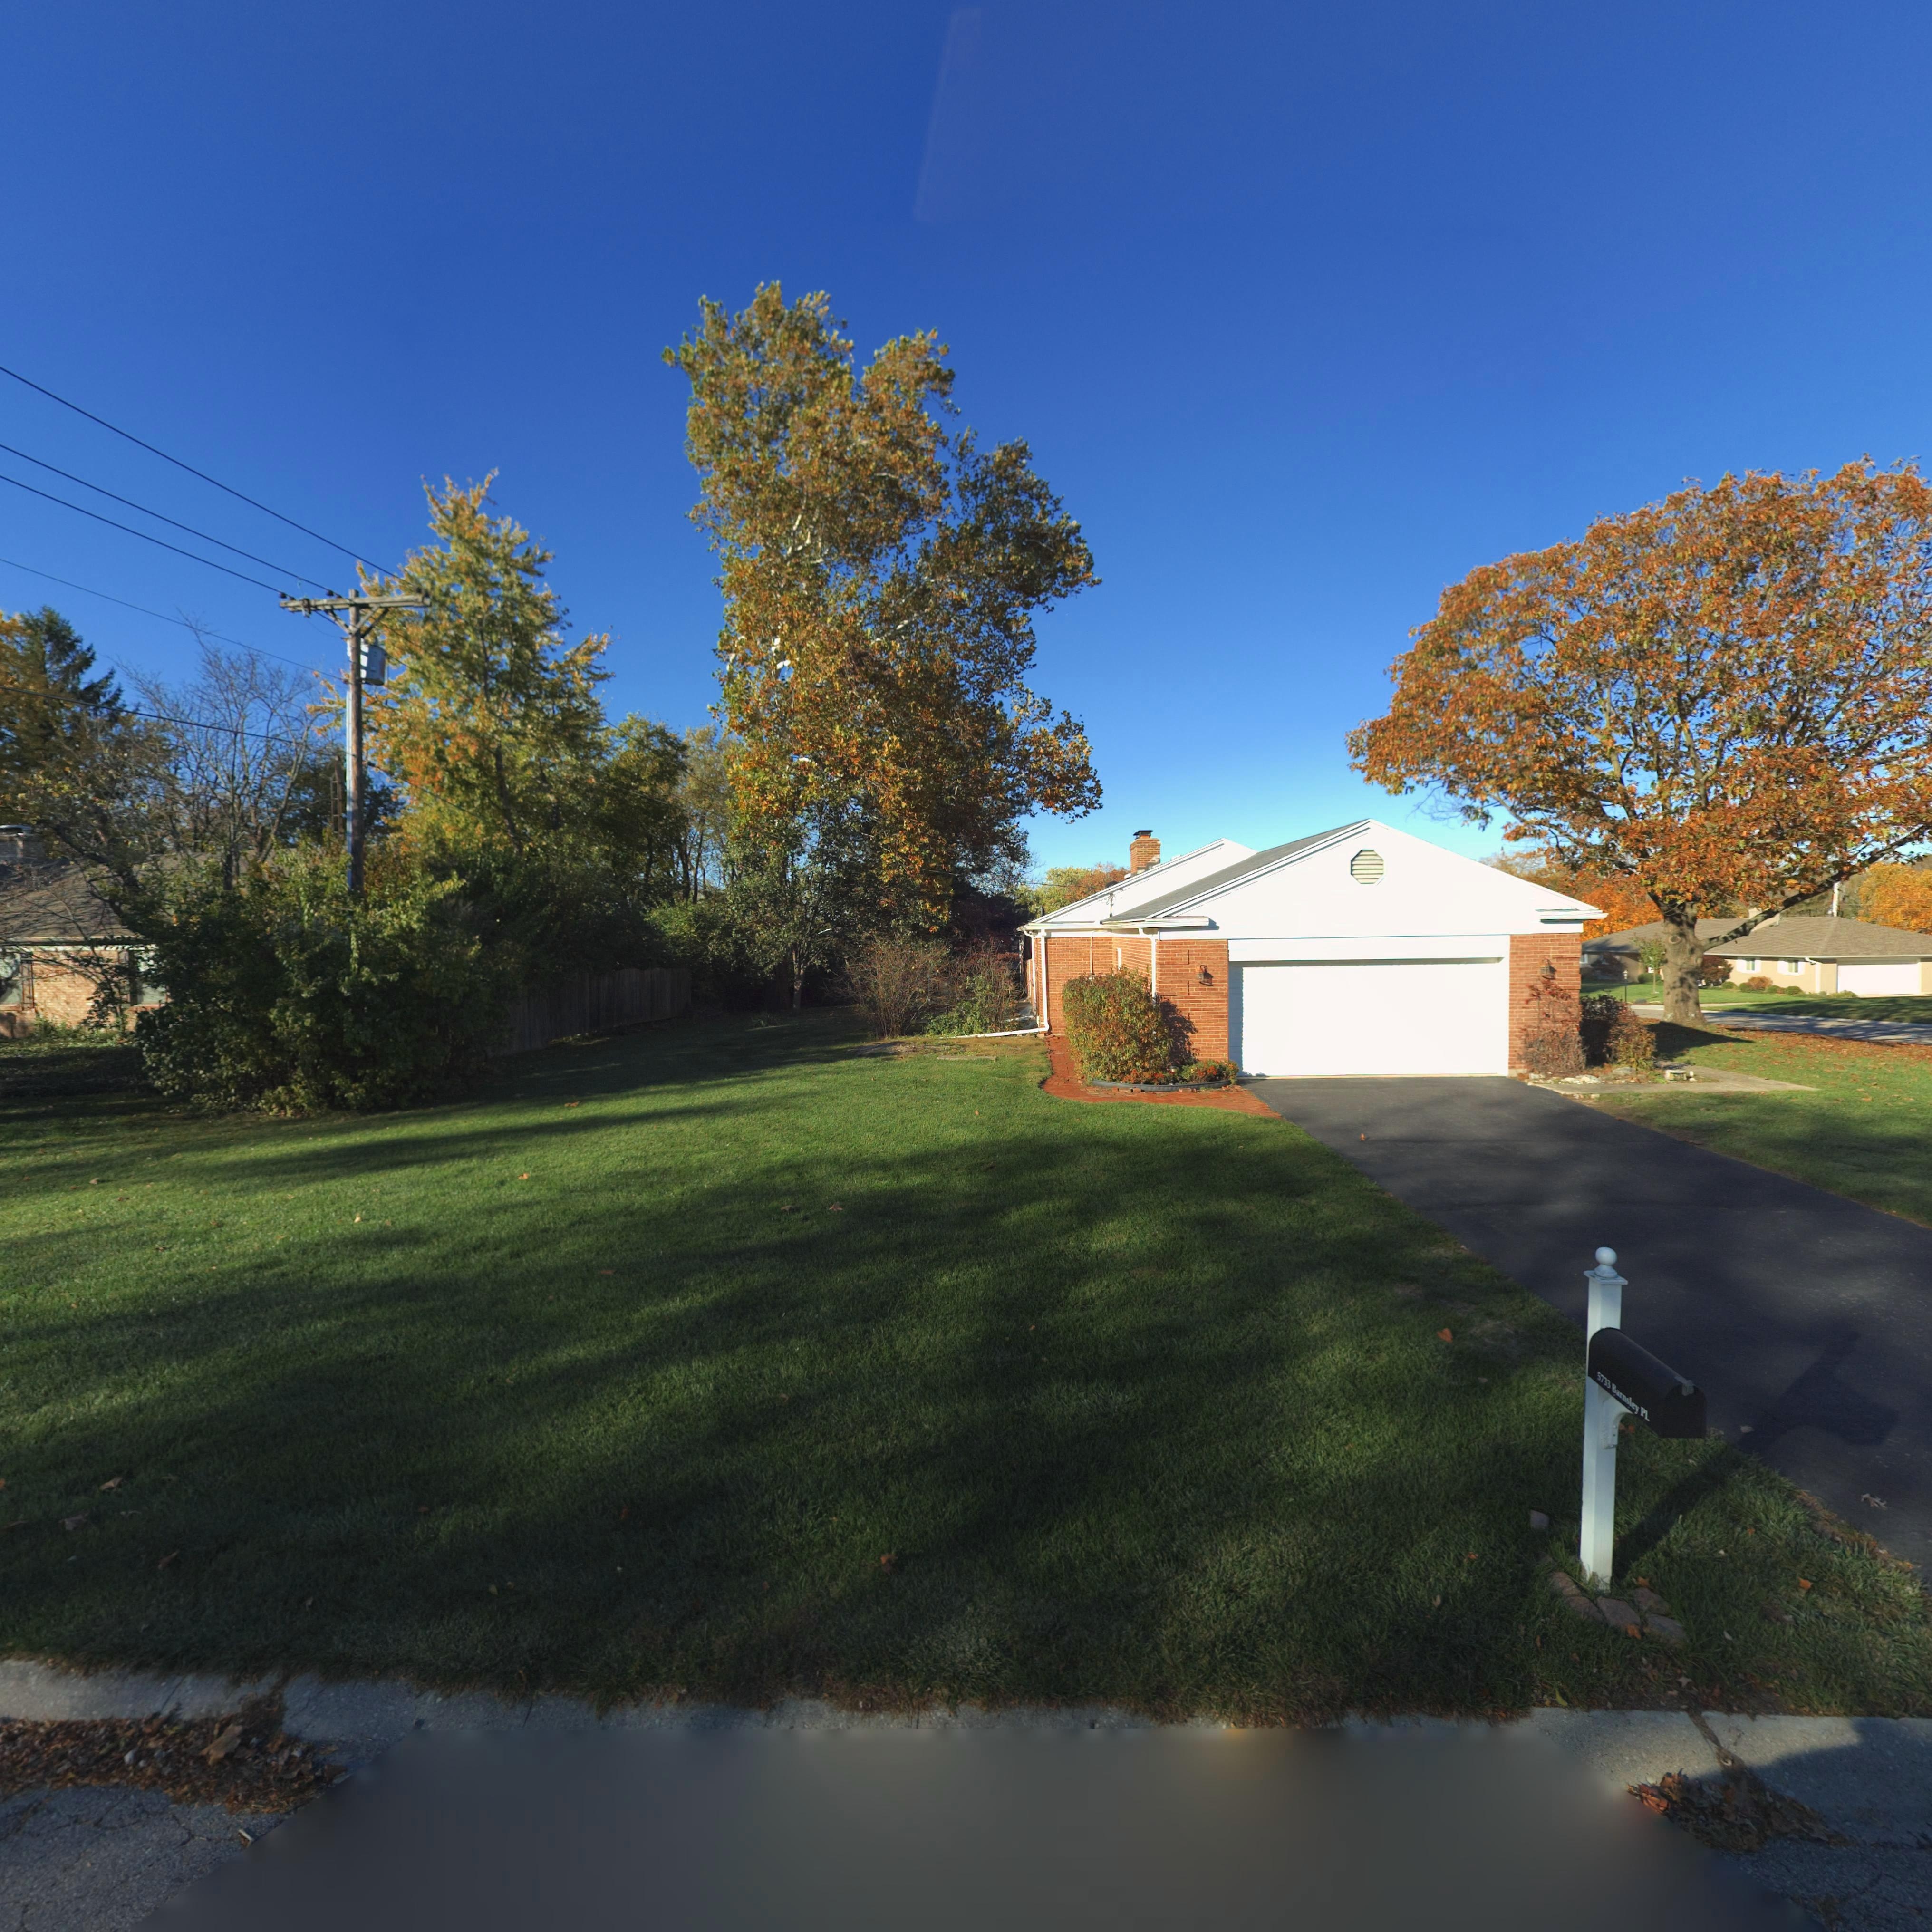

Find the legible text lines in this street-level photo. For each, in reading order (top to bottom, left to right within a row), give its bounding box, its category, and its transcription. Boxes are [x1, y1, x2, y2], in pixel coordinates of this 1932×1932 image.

[1596, 1370, 1612, 1391] StreetNumber: 5733